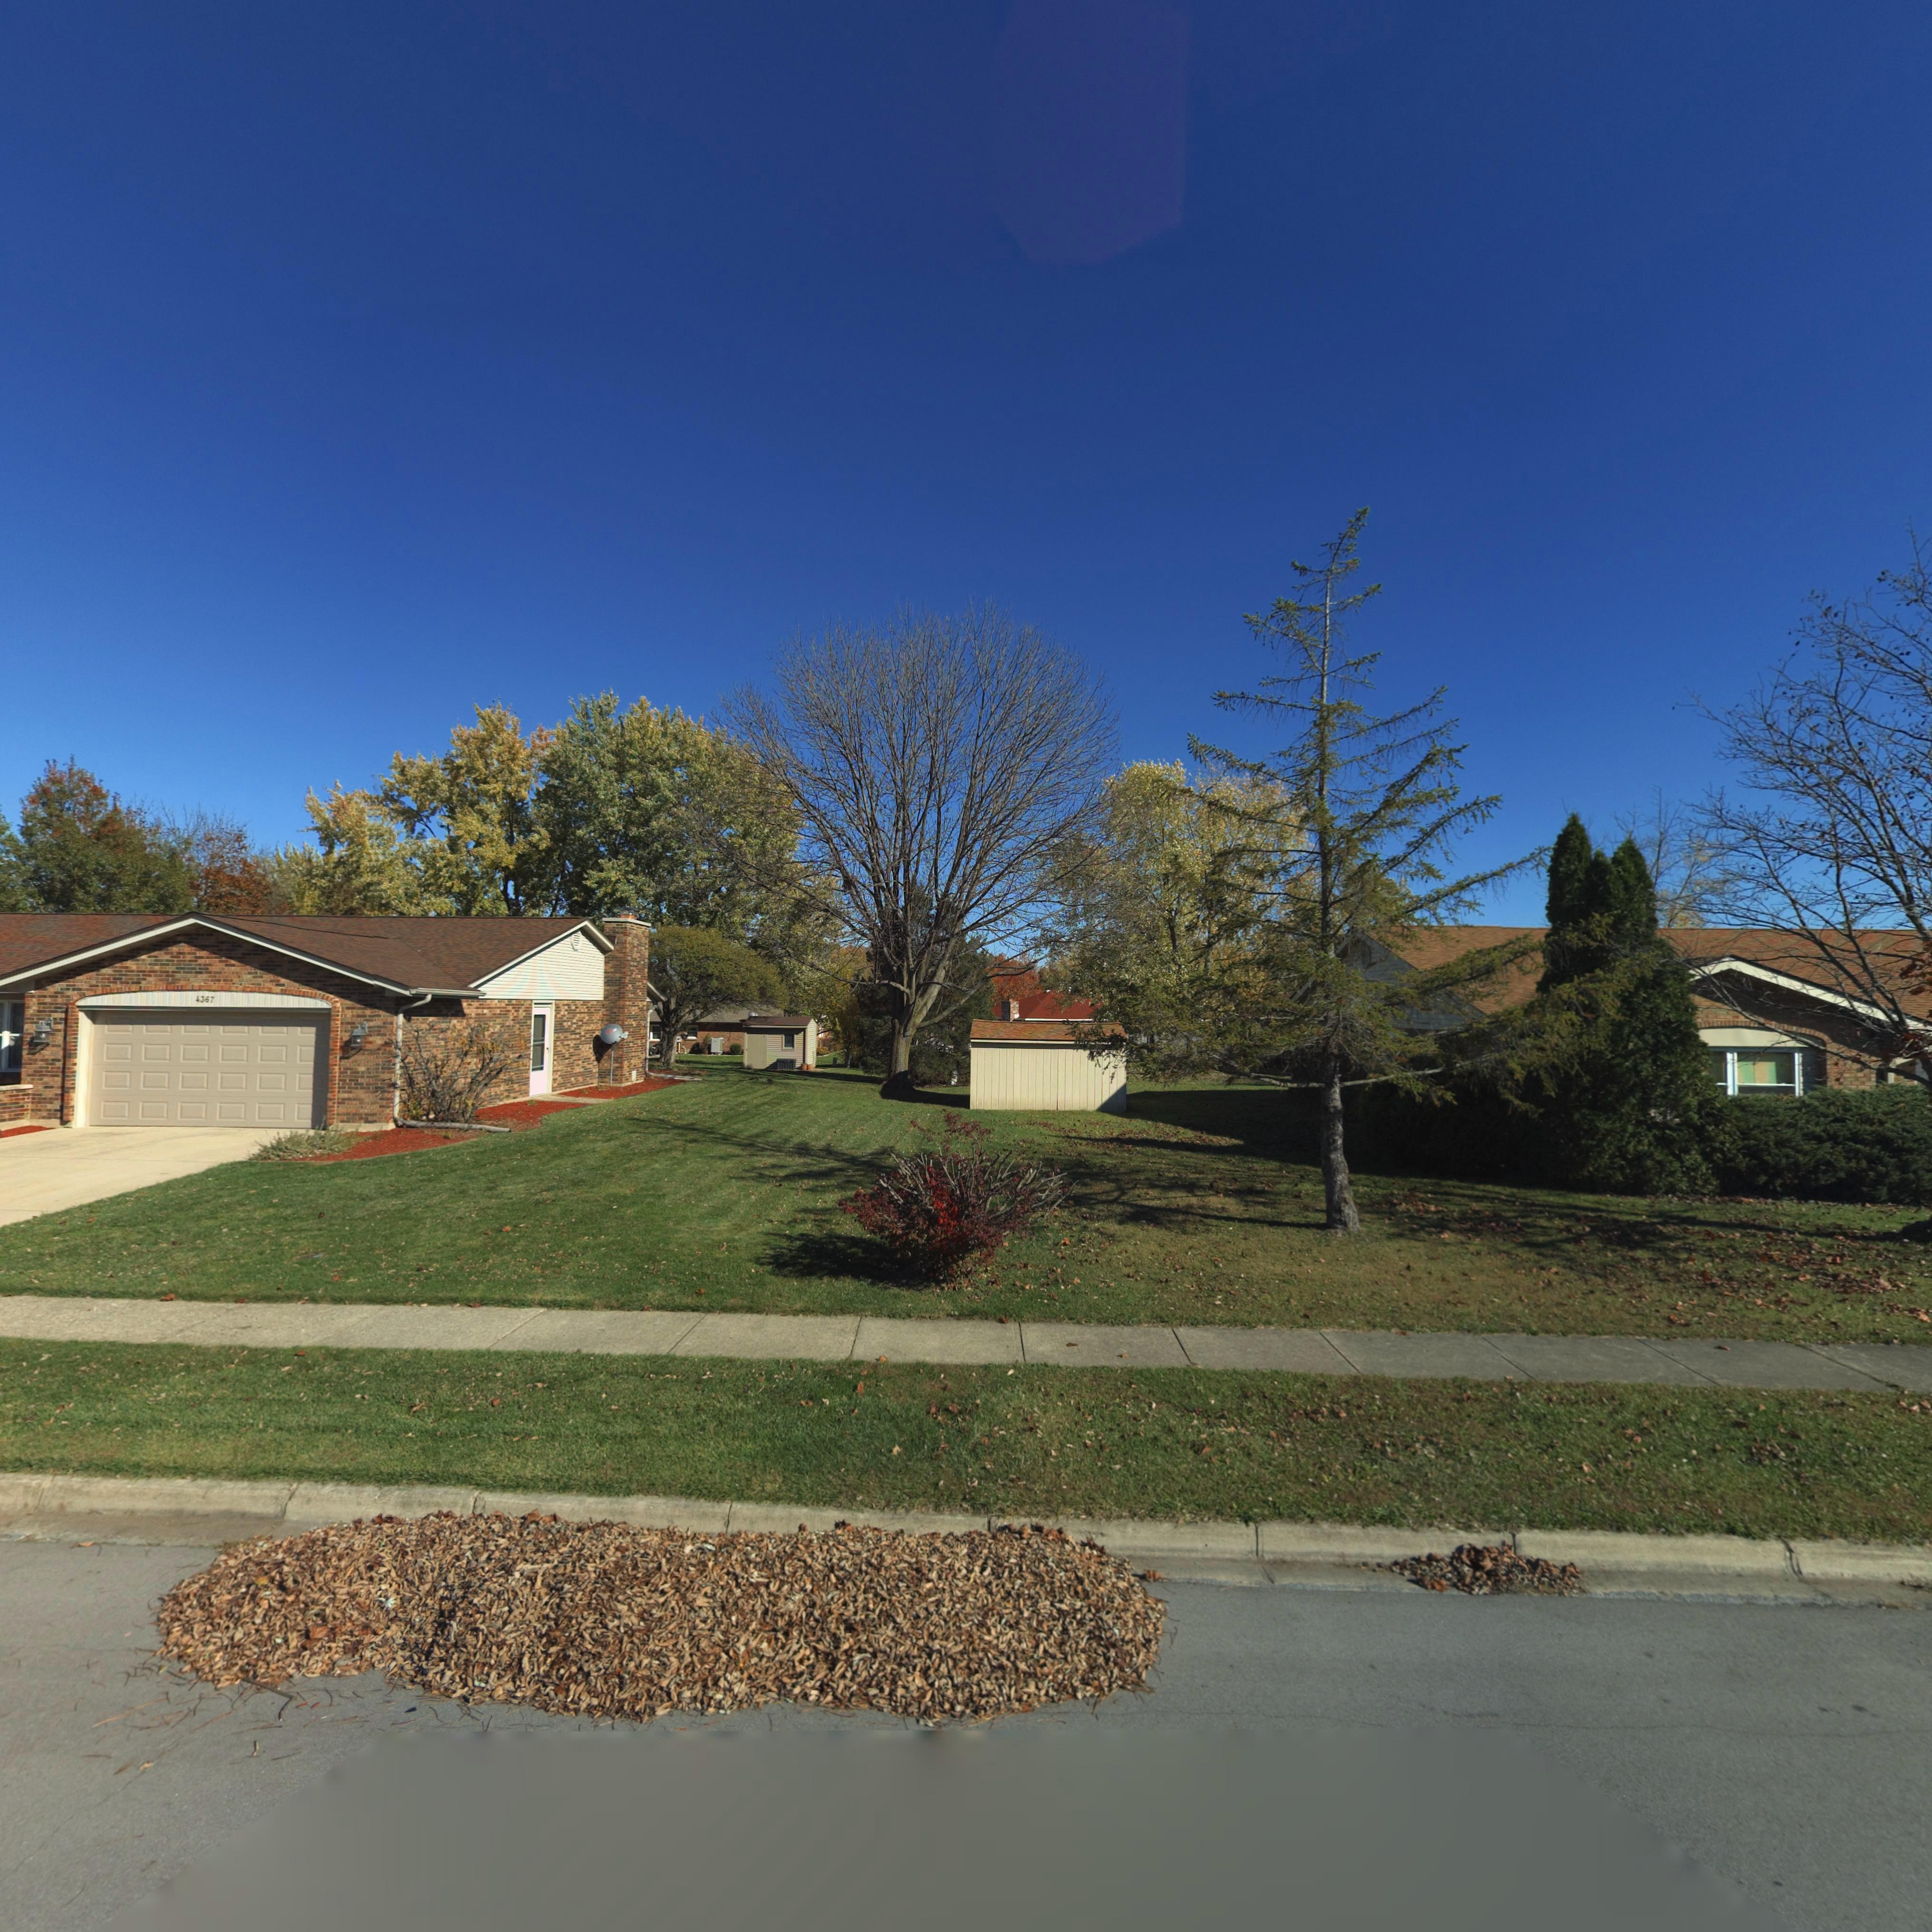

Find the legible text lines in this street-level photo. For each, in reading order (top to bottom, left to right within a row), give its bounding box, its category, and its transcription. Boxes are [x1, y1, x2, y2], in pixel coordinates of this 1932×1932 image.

[195, 995, 215, 1004] StreetNumber: 4367